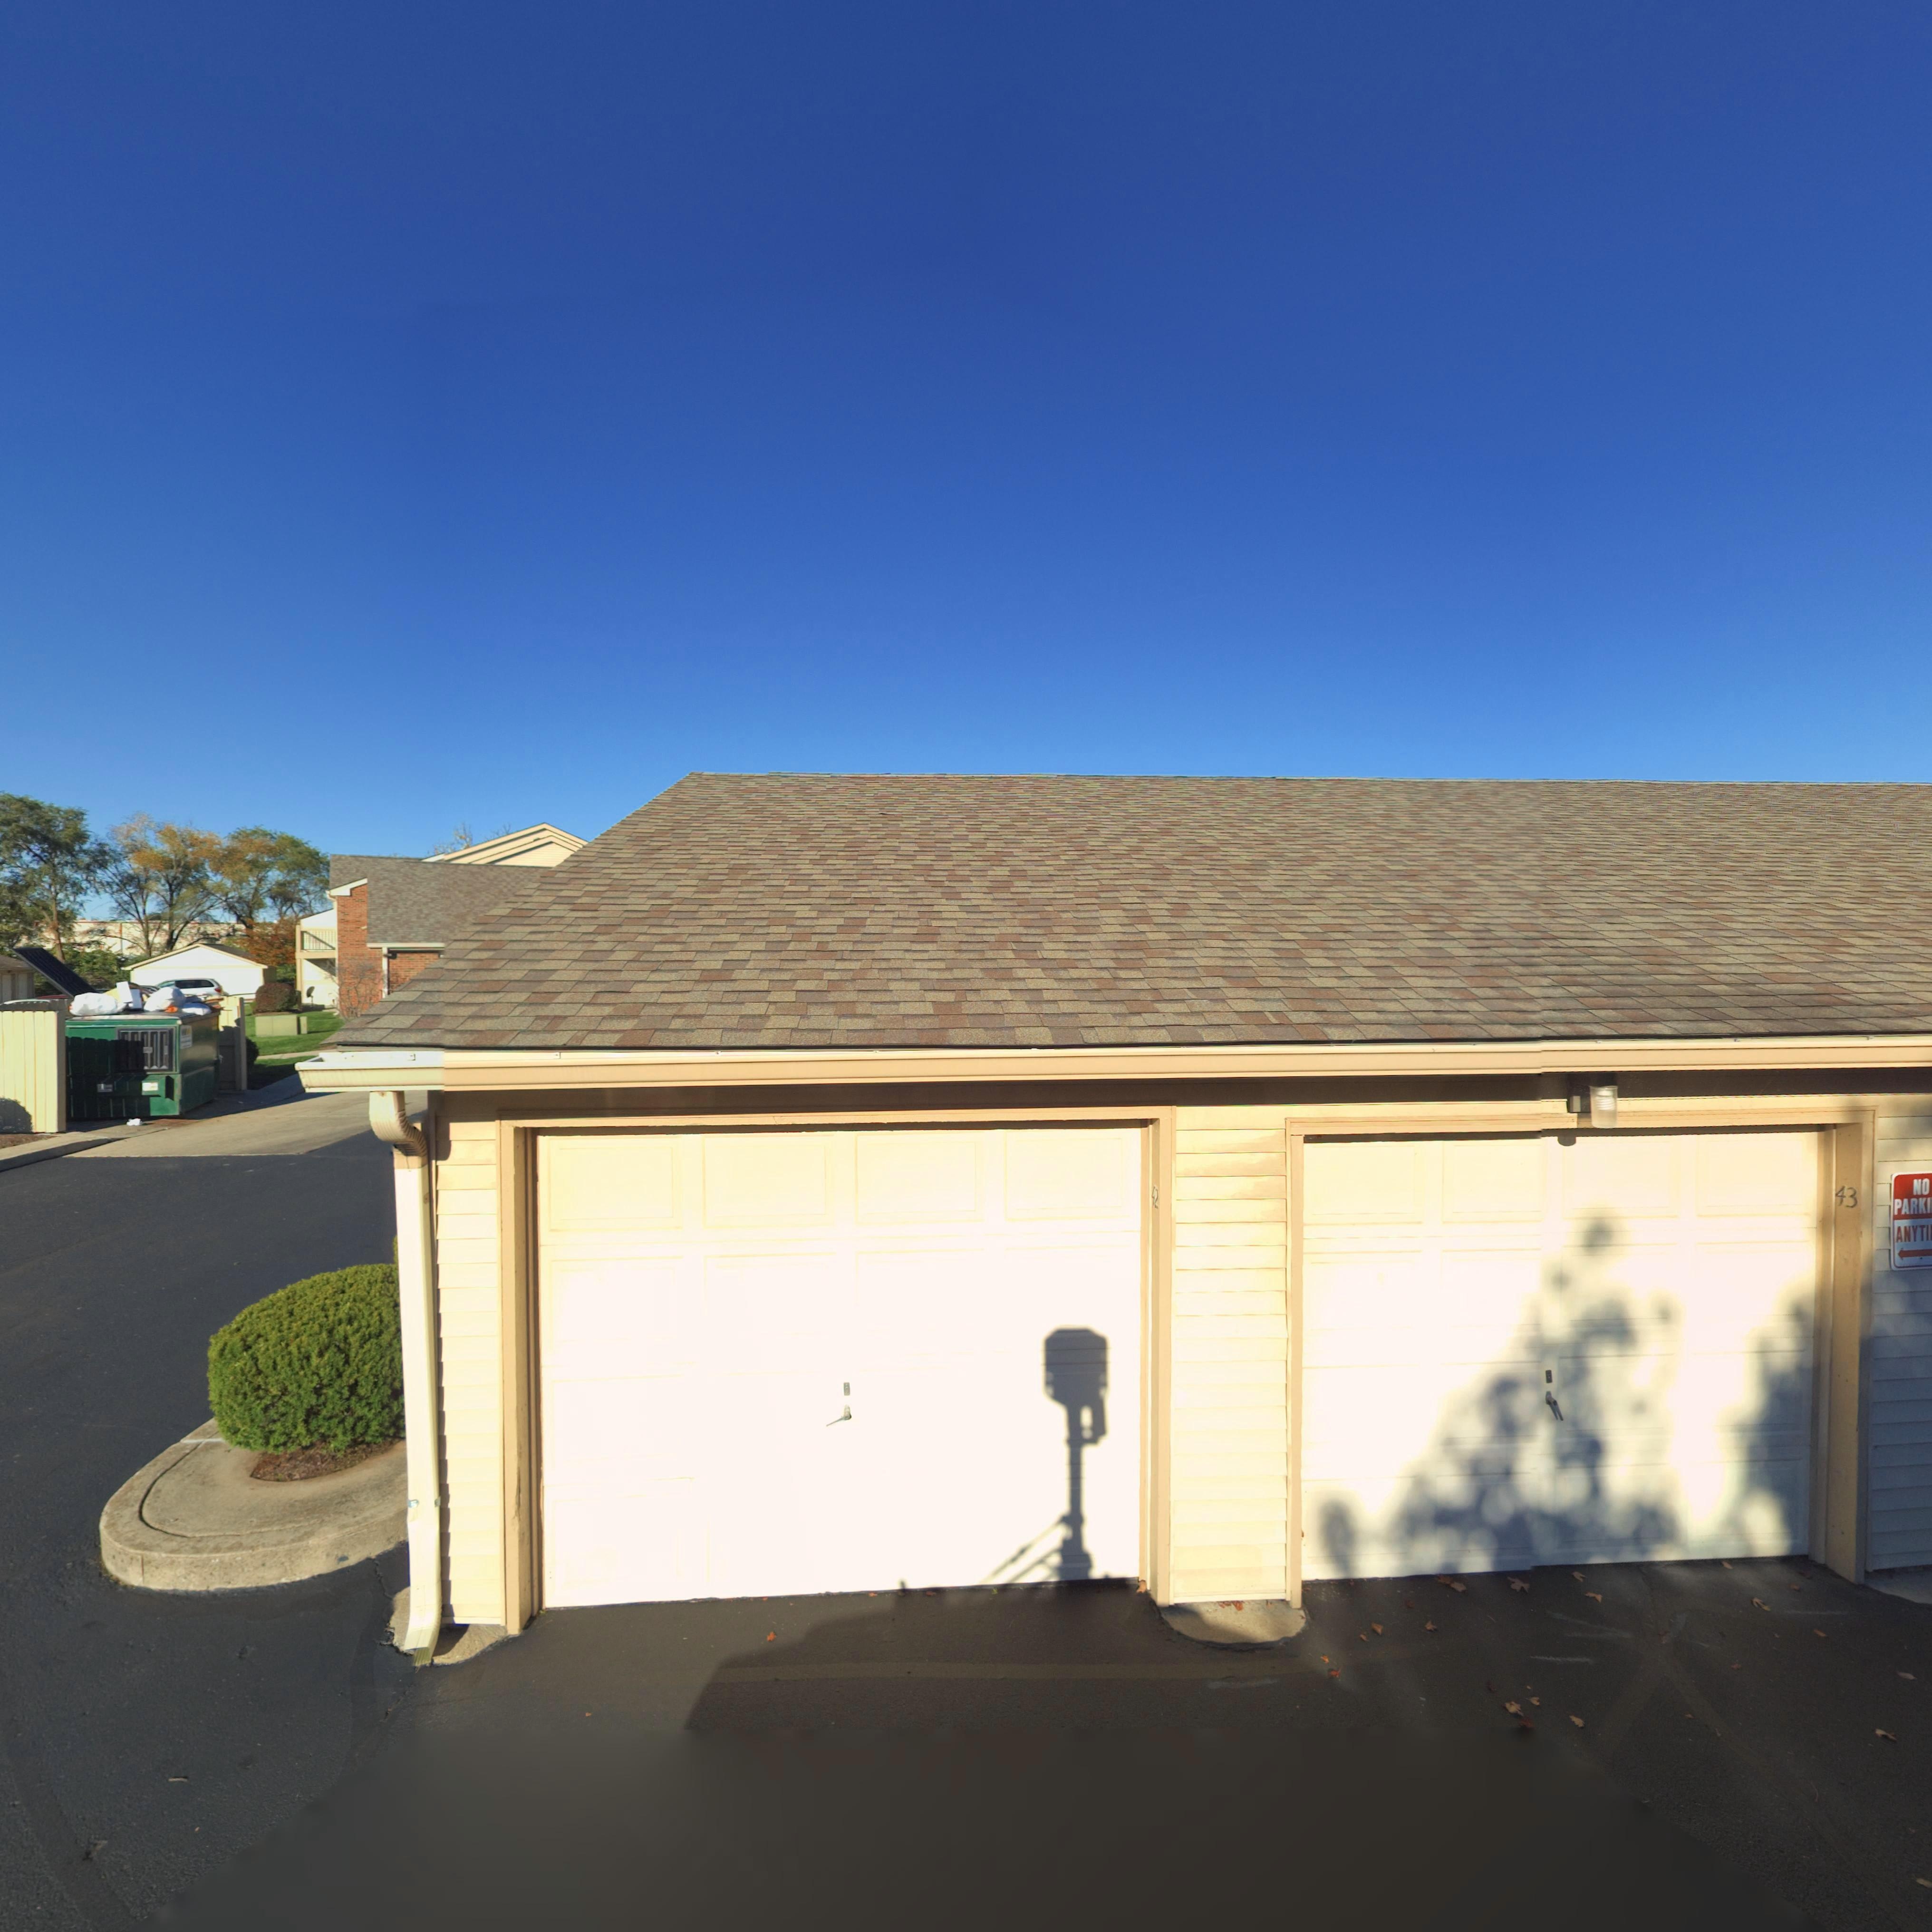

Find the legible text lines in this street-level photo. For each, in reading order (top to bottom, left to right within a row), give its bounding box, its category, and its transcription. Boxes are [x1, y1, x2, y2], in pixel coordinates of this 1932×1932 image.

[1151, 1184, 1159, 1211] StreetNumber: 42
[1834, 1185, 1859, 1208] StreetNumber: 43